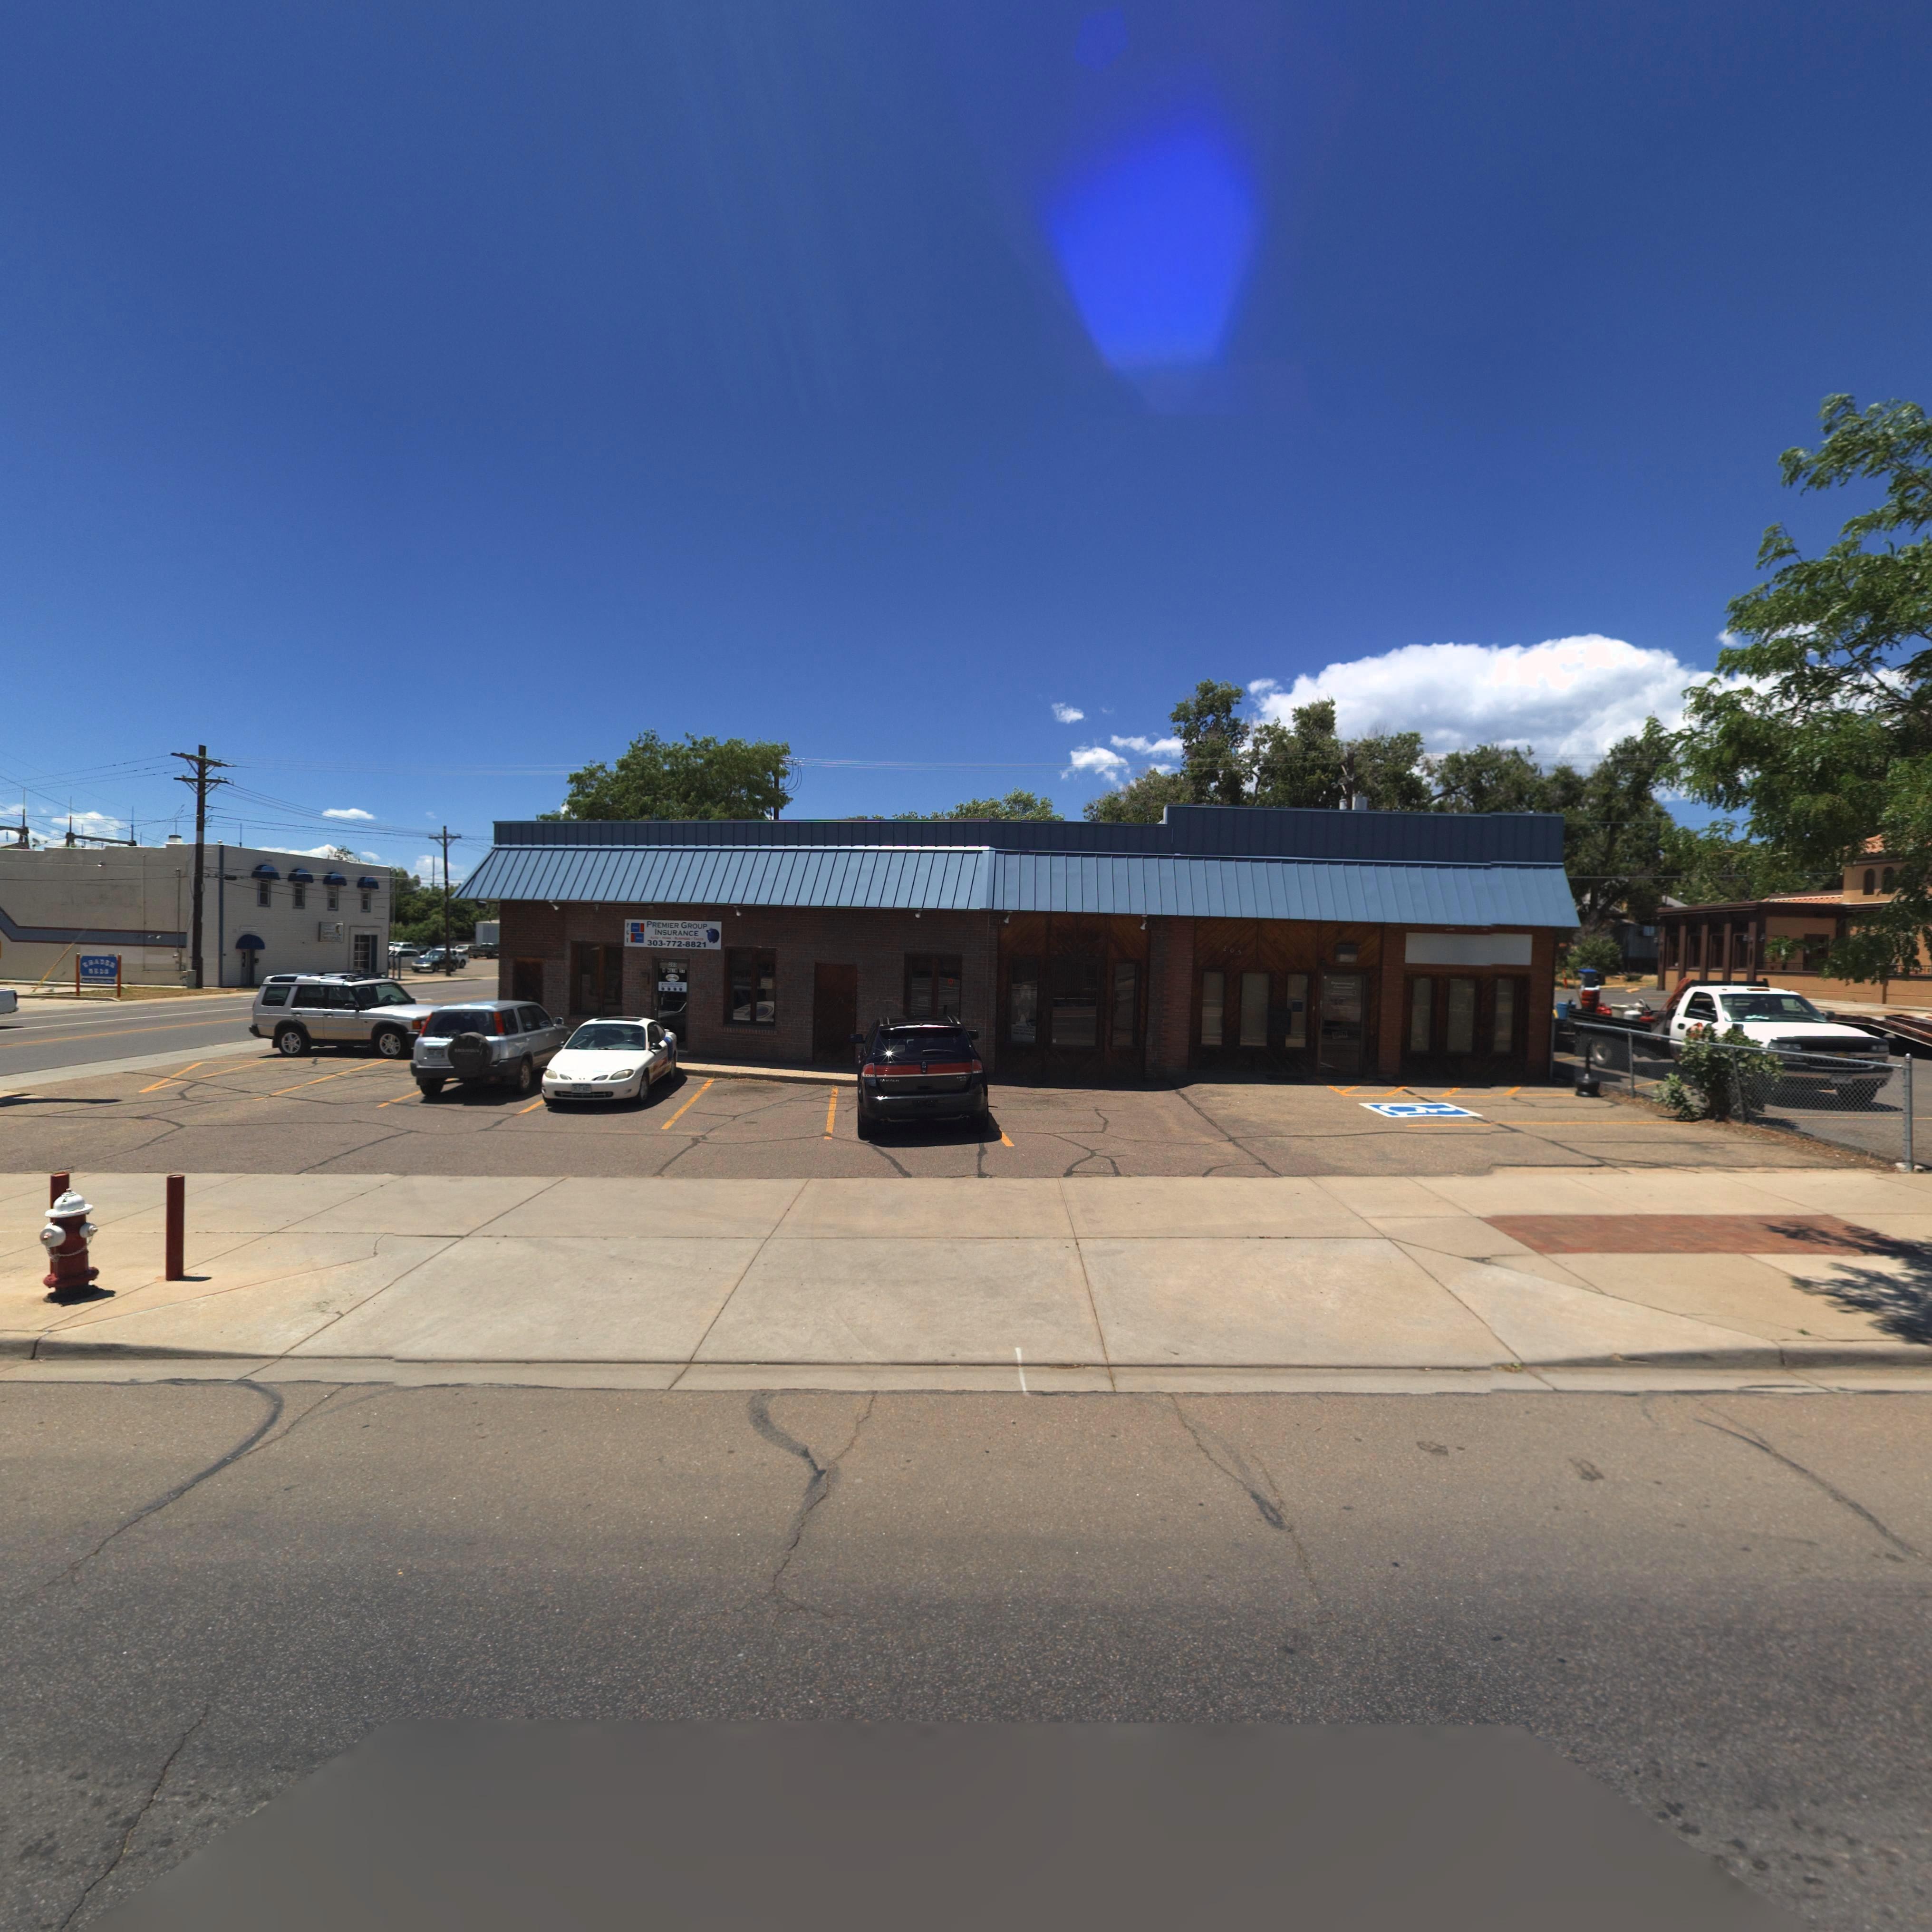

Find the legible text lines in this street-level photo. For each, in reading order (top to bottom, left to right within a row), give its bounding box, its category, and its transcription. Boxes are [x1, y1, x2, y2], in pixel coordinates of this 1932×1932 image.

[646, 920, 708, 929] BusinessName: PREMIER GROUP
[654, 928, 698, 936] BusinessName: INSURANCE
[81, 958, 116, 969] BusinessName: *RADER
[668, 962, 677, 966] StreetNumber: 20*
[88, 967, 109, 975] BusinessName: NEDS